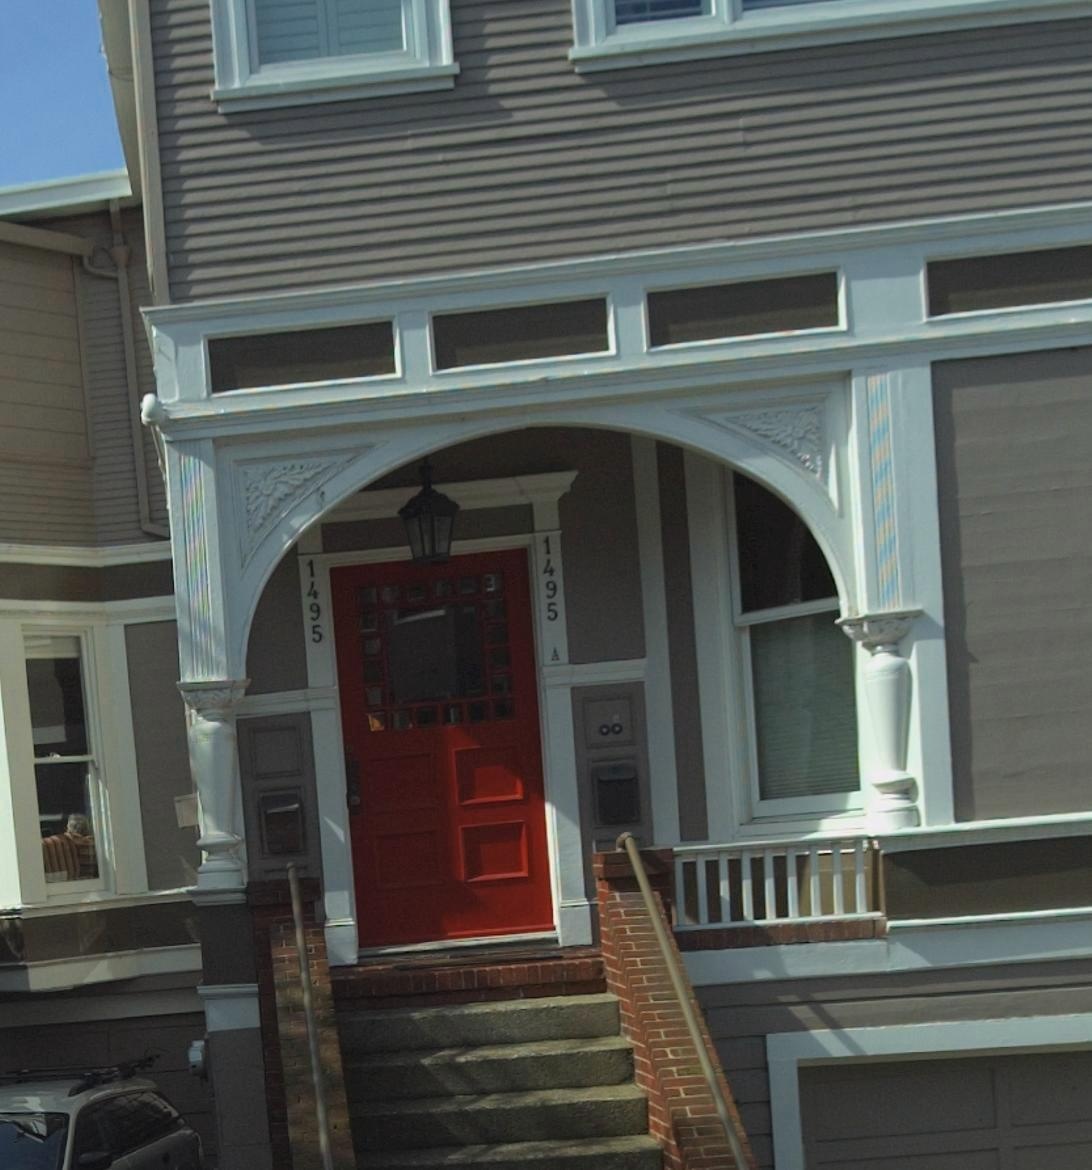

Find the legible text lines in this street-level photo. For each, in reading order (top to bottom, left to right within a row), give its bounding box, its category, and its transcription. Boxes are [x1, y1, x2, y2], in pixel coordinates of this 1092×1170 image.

[302, 555, 326, 648] StreetNumber: 1495
[538, 533, 562, 624] StreetNumber: 1495
[548, 643, 563, 664] StreetNumber: A